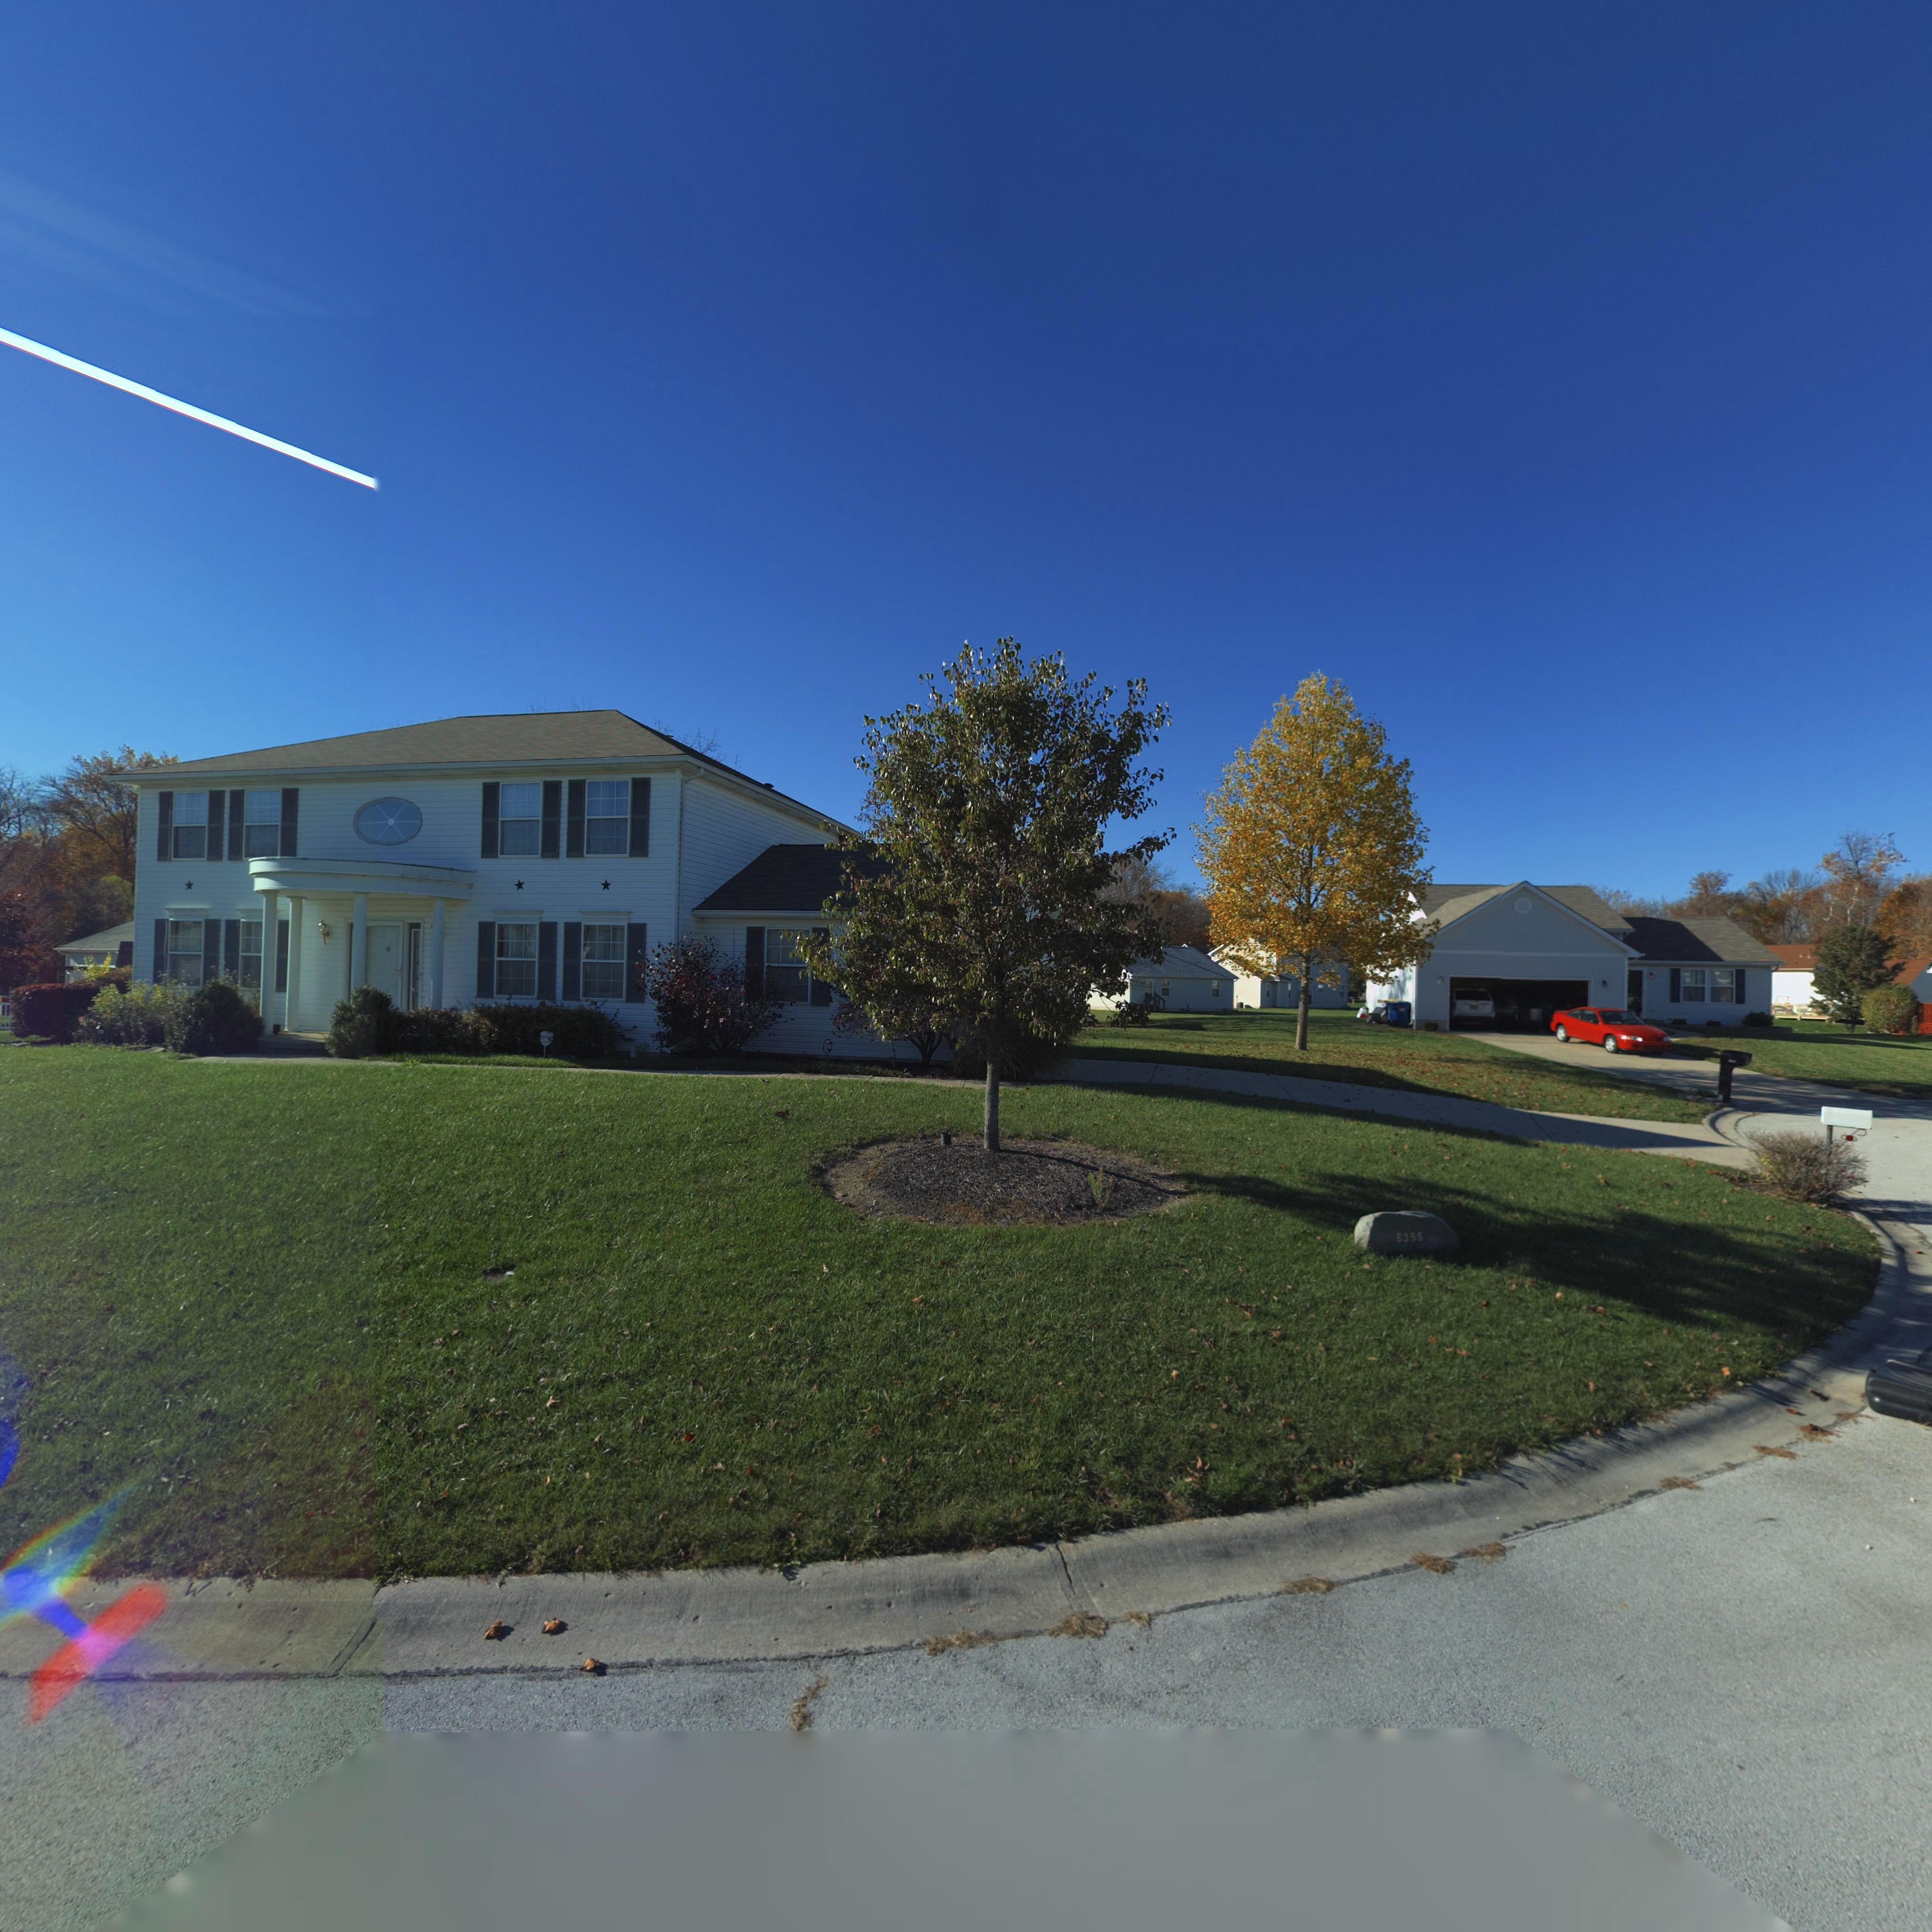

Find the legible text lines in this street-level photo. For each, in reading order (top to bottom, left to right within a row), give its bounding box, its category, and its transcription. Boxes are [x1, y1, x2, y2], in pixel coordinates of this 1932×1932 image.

[1396, 1231, 1423, 1243] StreetNumber: 6355